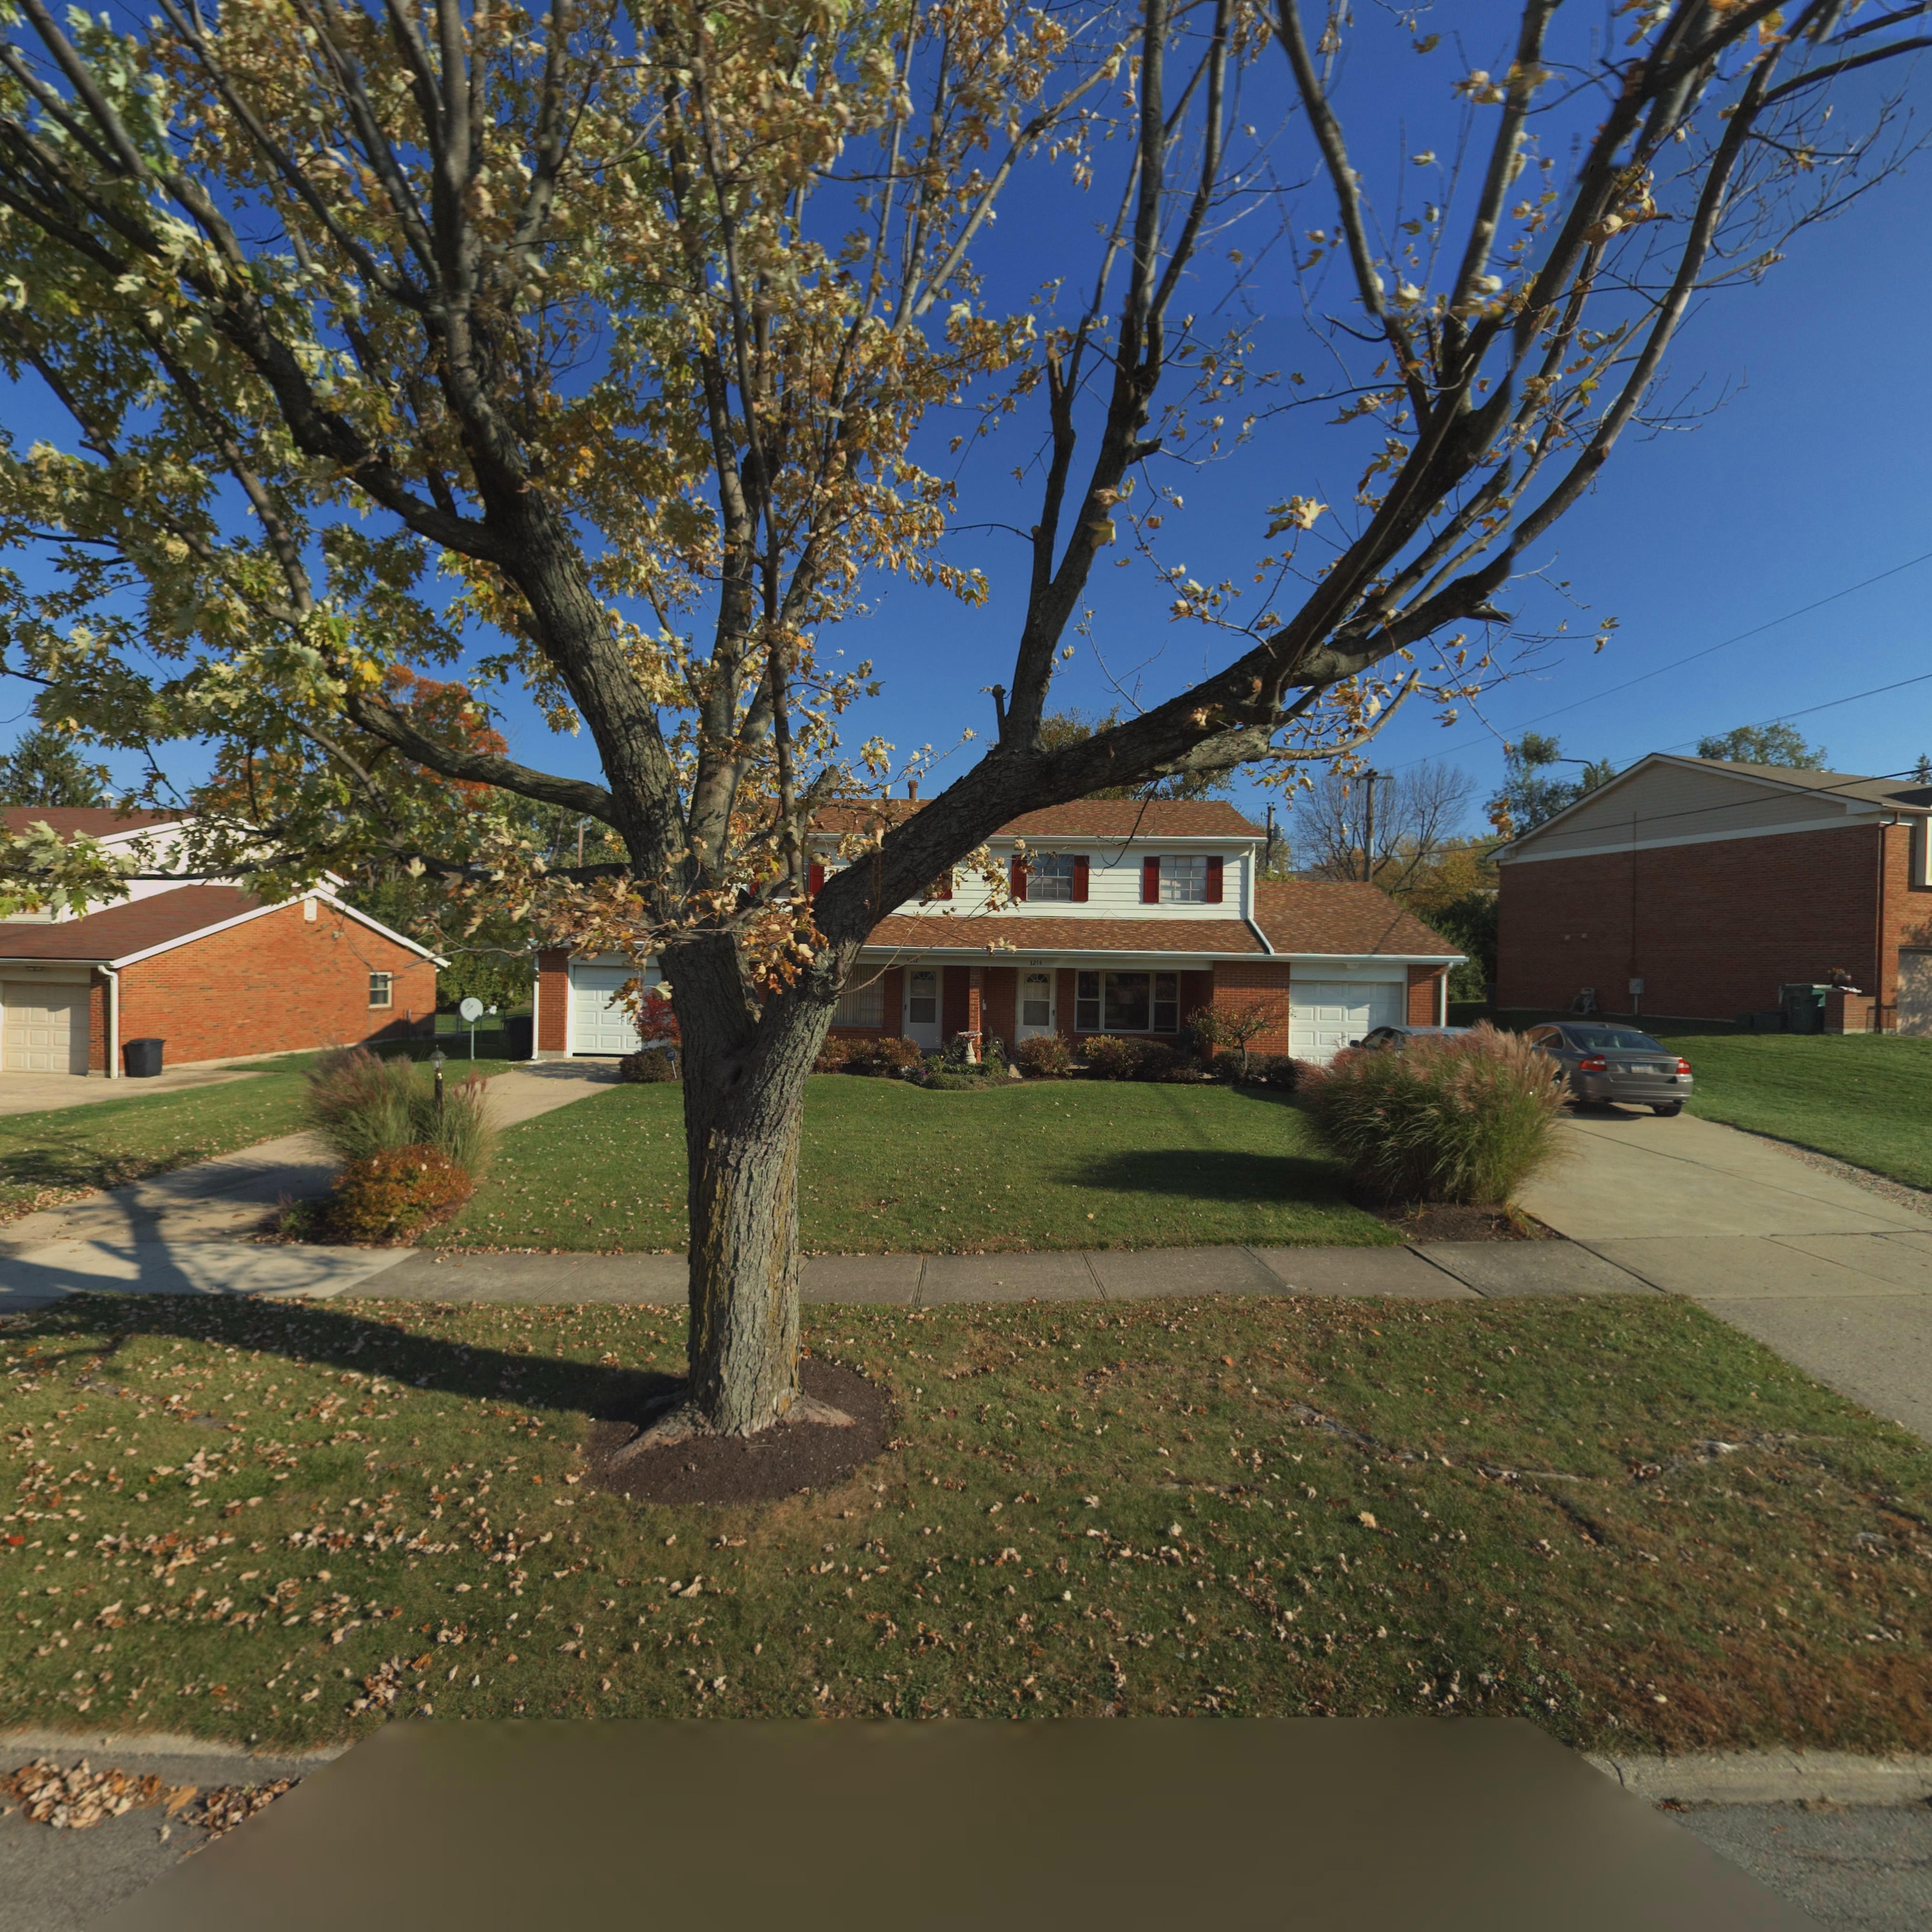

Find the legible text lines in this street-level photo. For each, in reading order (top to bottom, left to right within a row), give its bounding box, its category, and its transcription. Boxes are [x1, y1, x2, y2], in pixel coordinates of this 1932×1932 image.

[906, 956, 918, 963] StreetNumber: 3212
[1029, 959, 1042, 966] StreetNumber: 3214